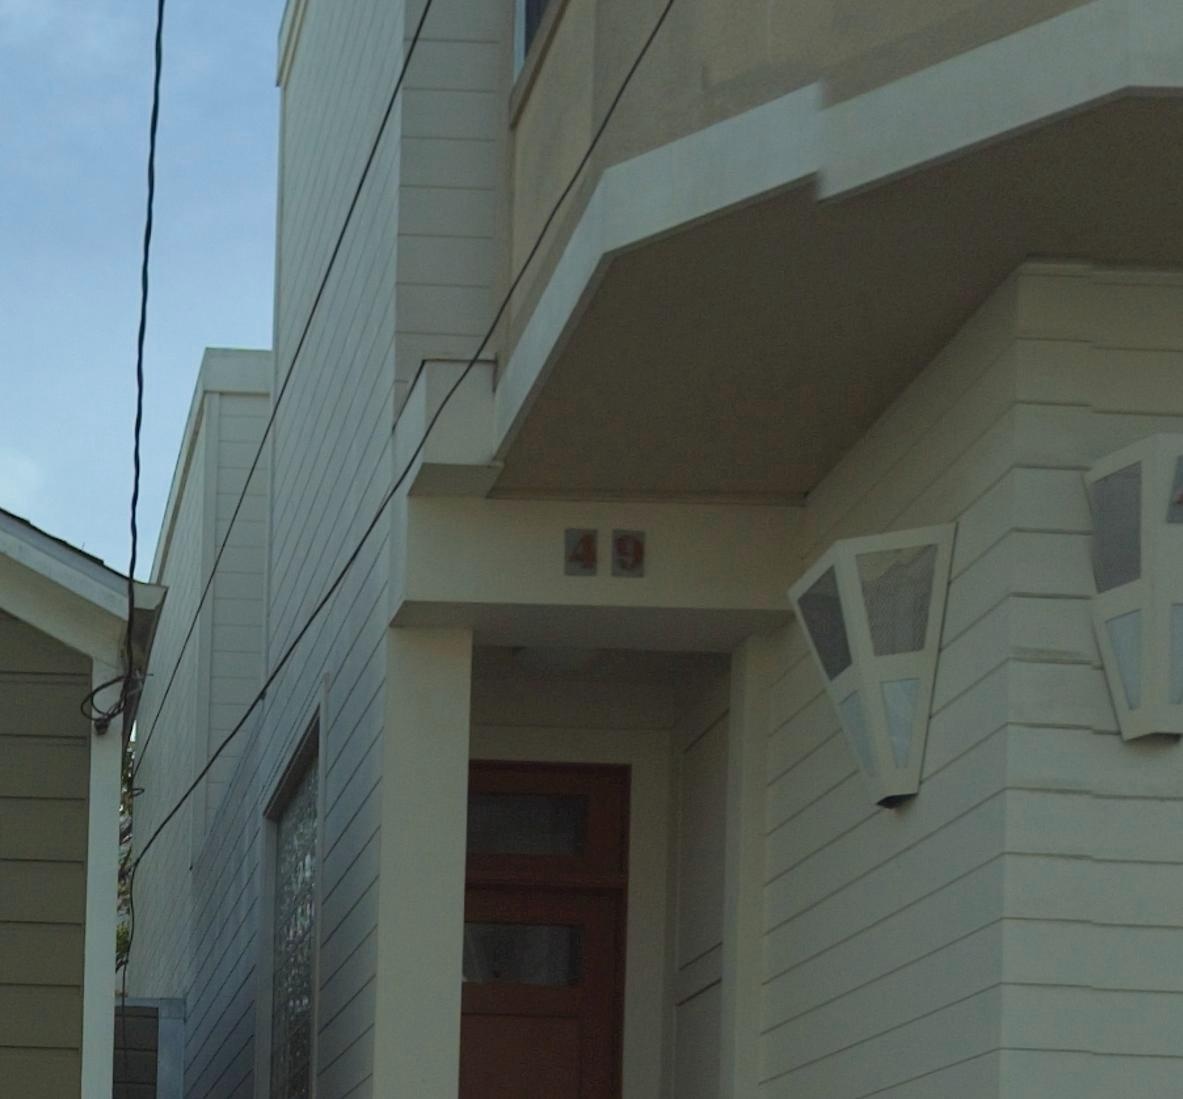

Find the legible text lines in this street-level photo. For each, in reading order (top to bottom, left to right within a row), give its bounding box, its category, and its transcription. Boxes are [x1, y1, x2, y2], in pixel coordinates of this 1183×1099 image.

[565, 530, 646, 575] StreetNumber: 49